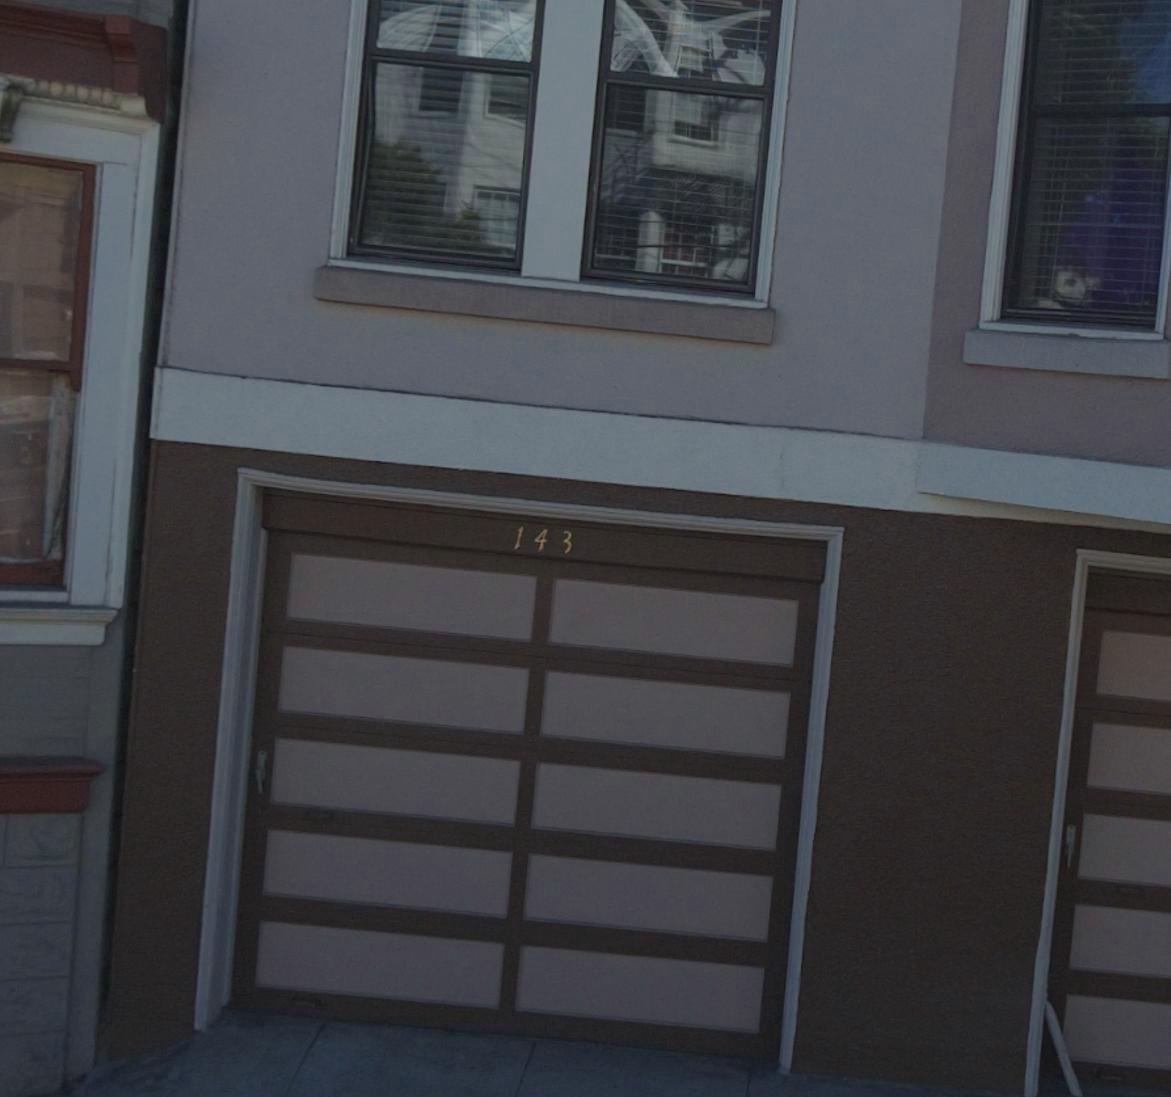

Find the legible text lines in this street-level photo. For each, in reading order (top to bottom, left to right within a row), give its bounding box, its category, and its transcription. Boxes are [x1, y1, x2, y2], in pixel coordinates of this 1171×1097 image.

[511, 524, 575, 555] StreetNumber: 143